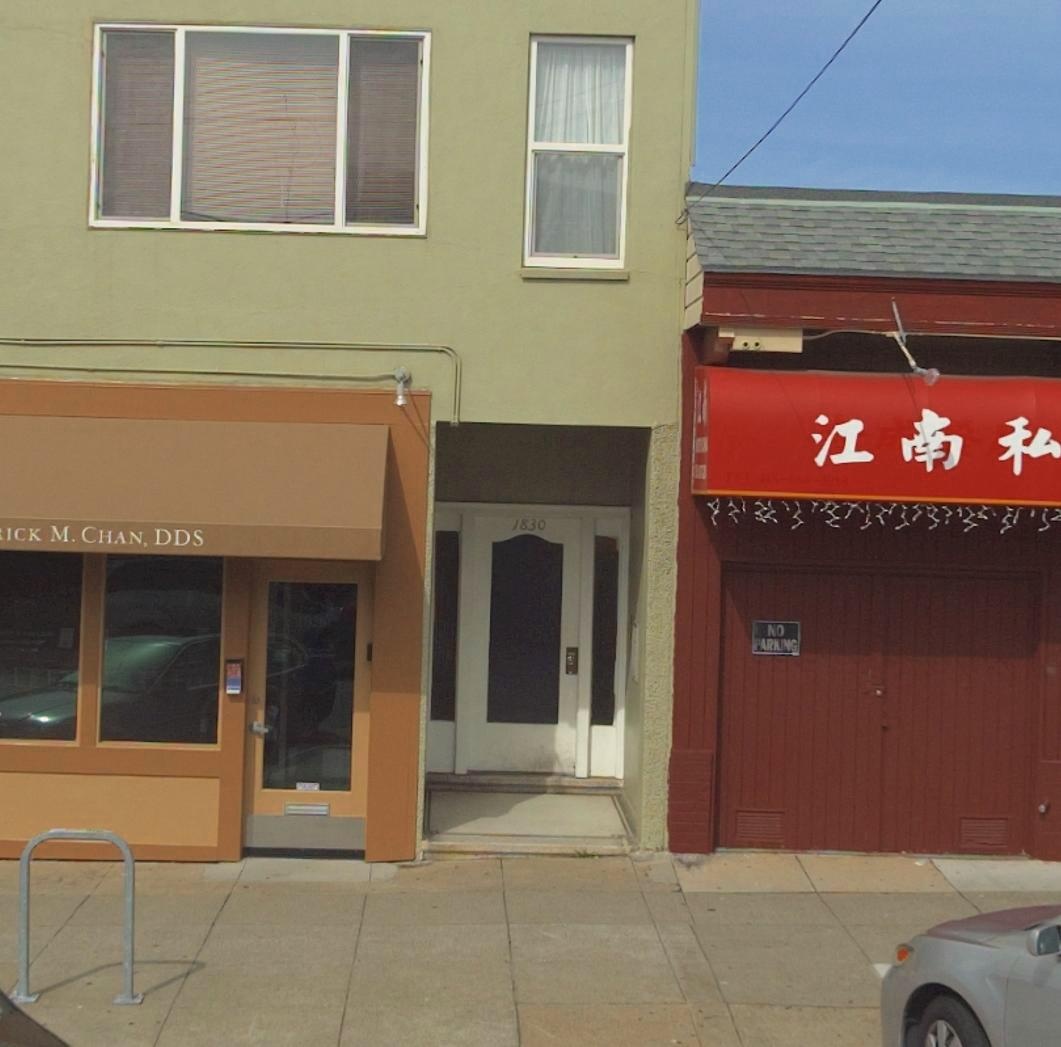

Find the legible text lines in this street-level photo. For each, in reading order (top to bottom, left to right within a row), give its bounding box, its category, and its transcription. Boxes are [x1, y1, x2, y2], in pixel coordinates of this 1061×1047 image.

[511, 517, 547, 532] StreetNumber: 1830
[5, 525, 206, 549] None: ICK M. CHAN, DDS
[766, 622, 786, 638] None: NO
[753, 637, 799, 652] None: PARKING